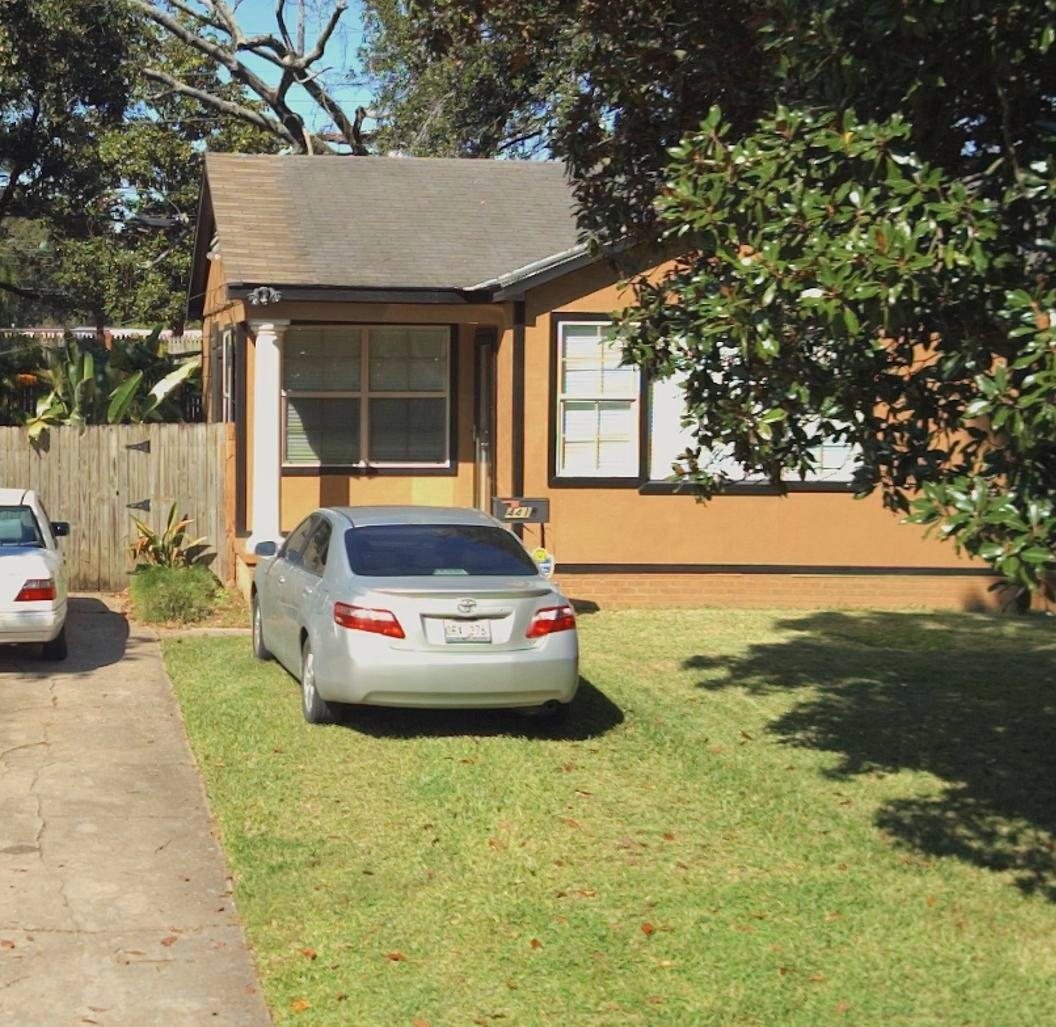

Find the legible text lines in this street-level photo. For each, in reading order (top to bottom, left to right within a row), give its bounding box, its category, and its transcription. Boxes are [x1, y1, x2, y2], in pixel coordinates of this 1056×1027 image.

[505, 506, 531, 517] StreetNumber: 441
[443, 623, 488, 637] None: O5* 375